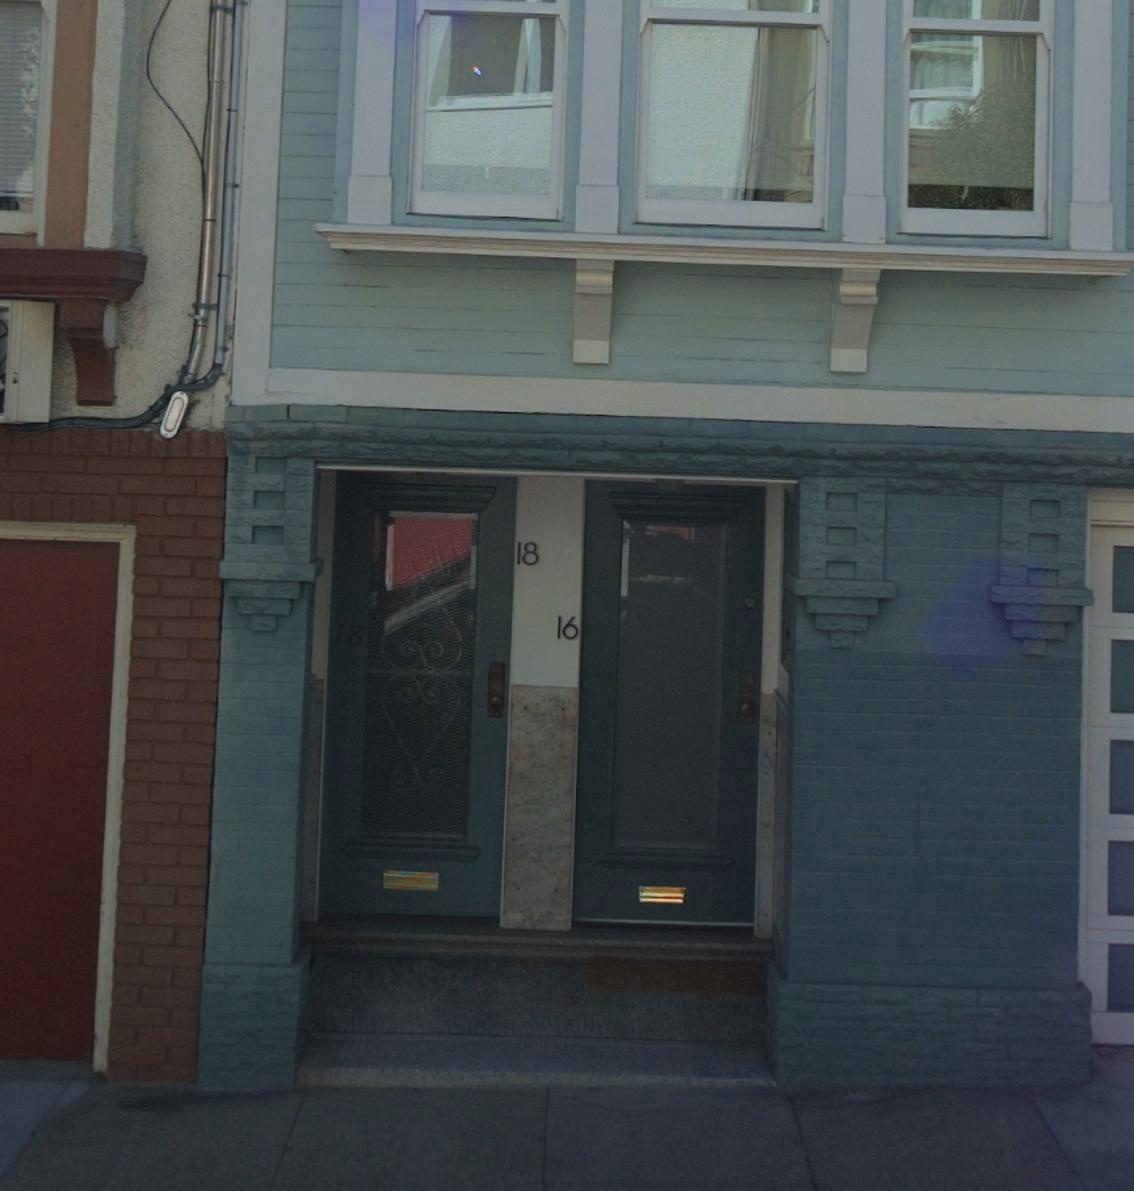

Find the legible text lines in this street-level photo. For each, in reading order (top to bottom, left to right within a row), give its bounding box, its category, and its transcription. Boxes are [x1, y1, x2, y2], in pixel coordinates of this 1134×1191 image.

[515, 540, 541, 567] StreetNumber: 18
[333, 622, 365, 647] StreetNumber: 18
[556, 615, 580, 641] StreetNumber: 16